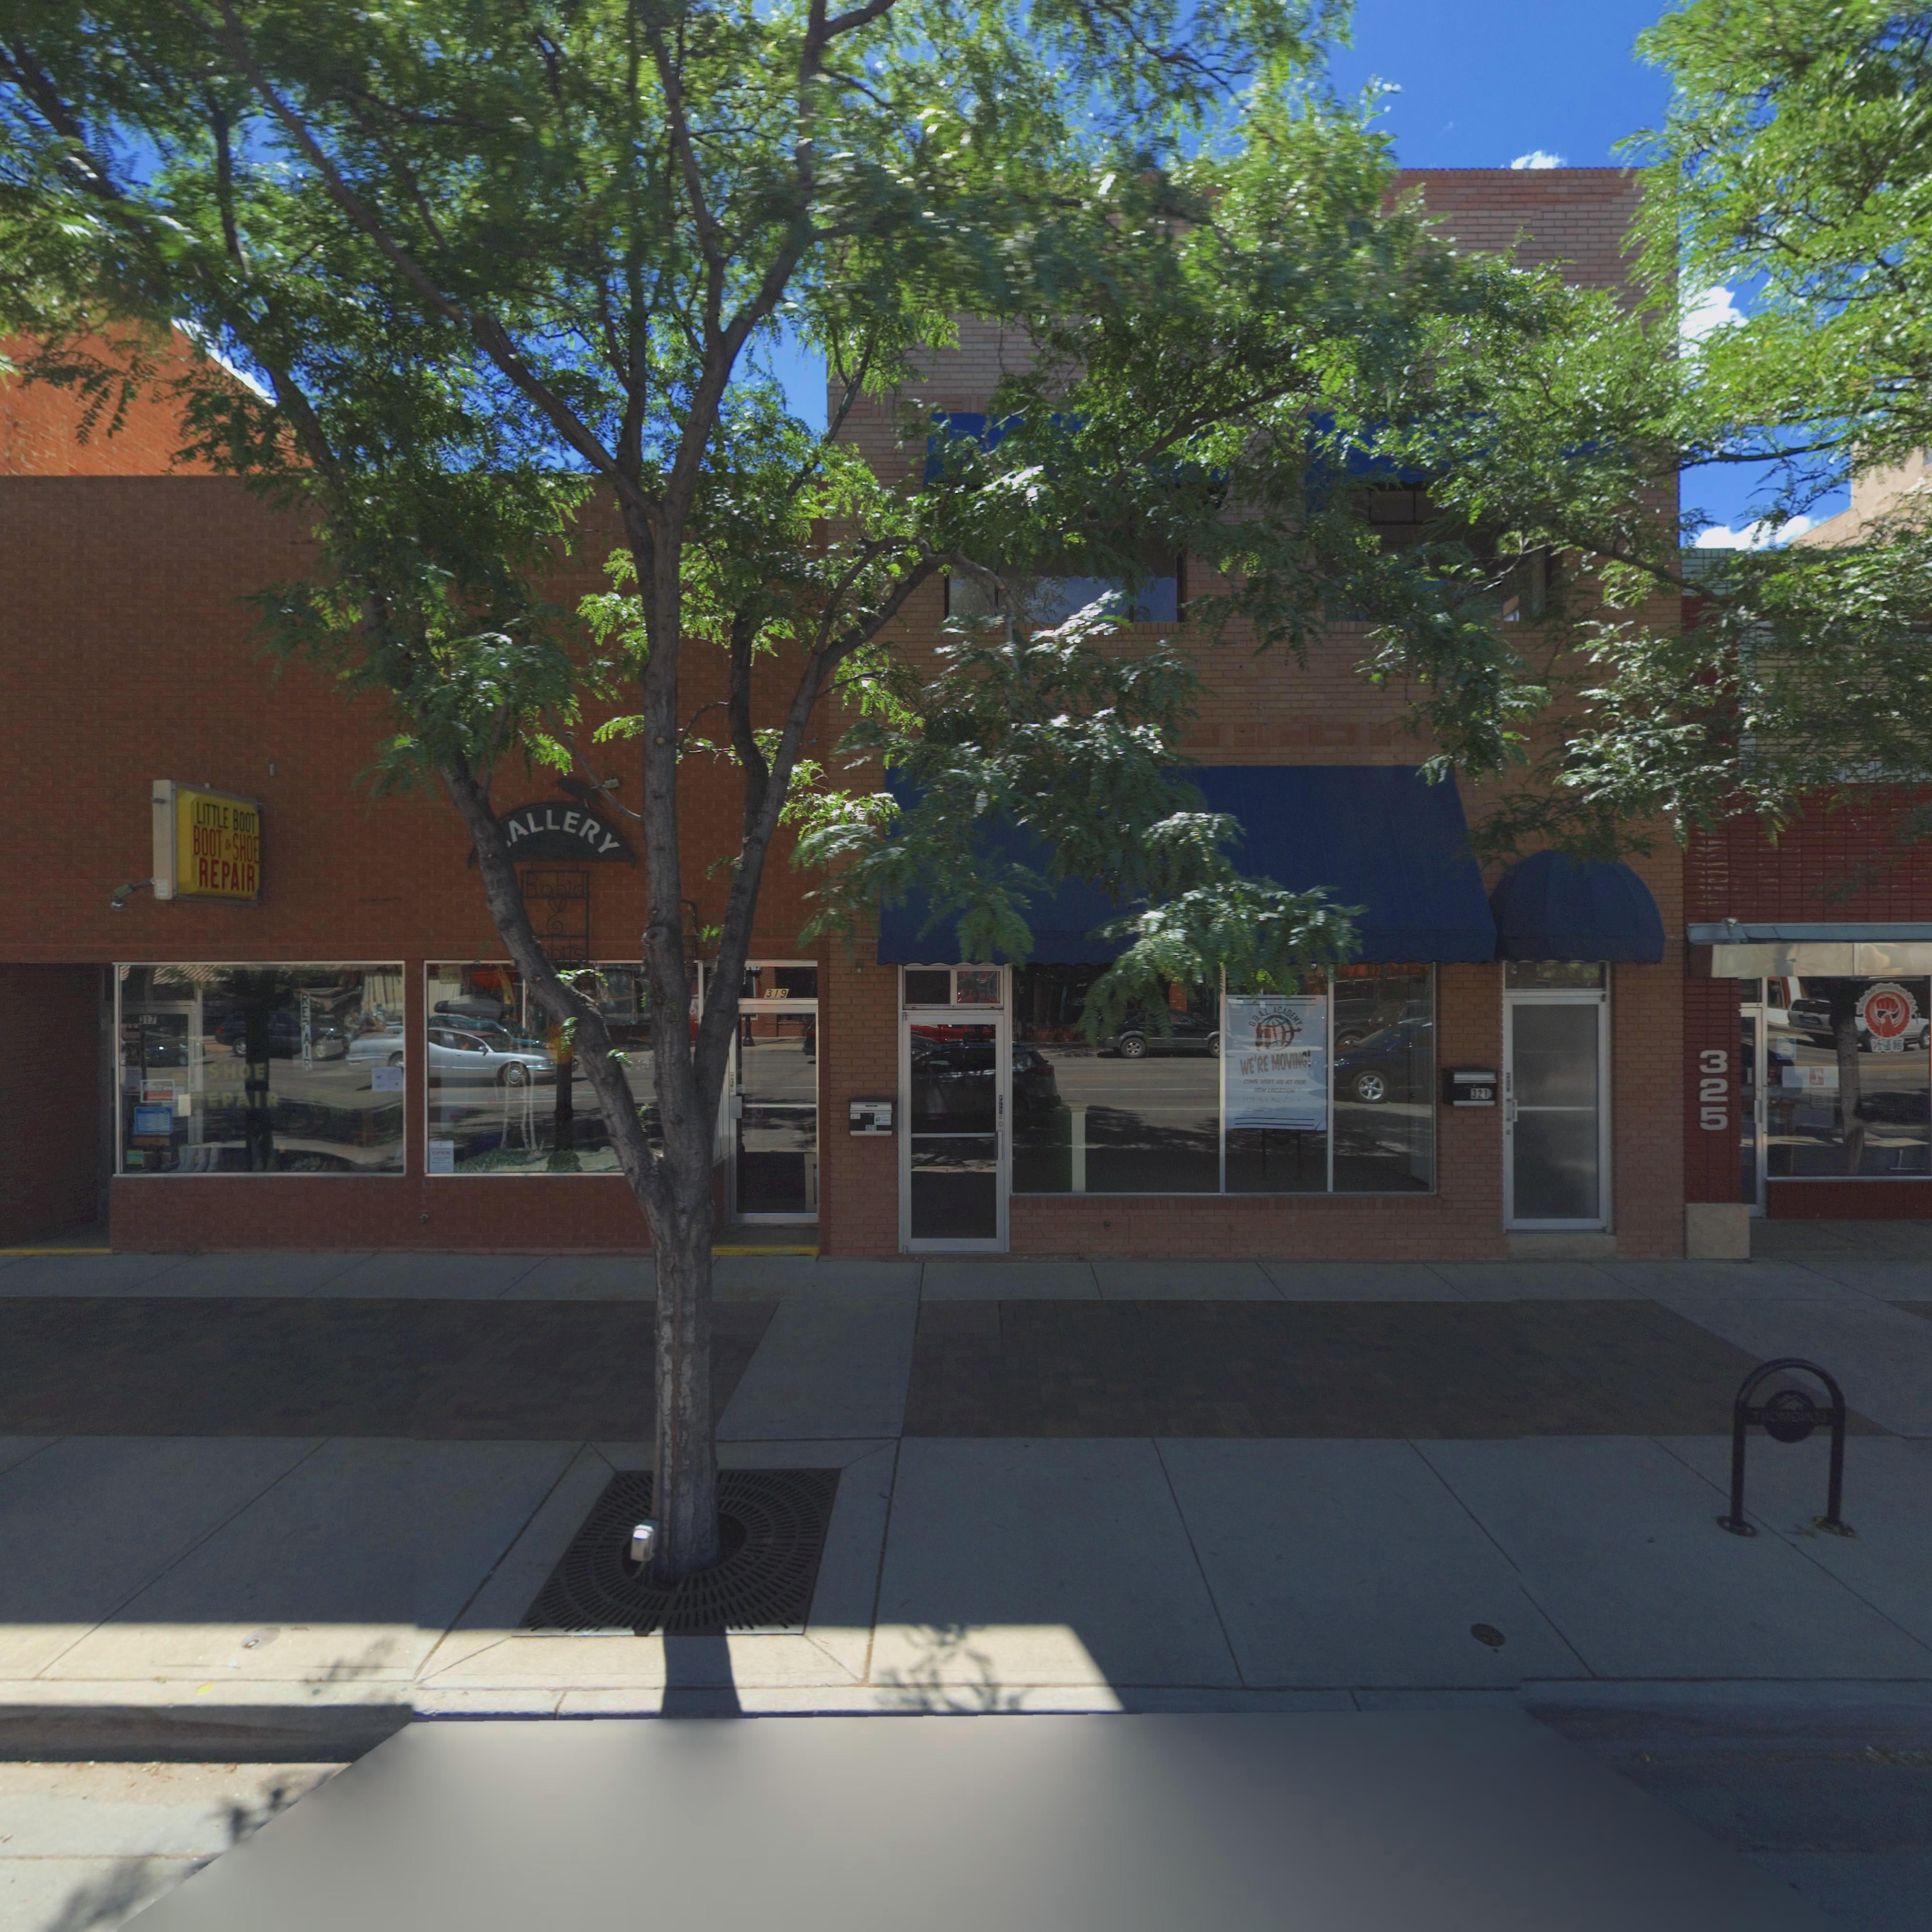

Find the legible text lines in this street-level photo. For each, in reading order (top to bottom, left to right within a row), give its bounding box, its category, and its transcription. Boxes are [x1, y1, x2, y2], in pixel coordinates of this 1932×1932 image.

[195, 800, 256, 834] BusinessName: LITTLE BOOT
[525, 871, 584, 898] BusinessName: Rabid
[541, 936, 585, 962] BusinessName: *bits
[764, 989, 789, 998] StreetNumber: 319
[139, 1014, 156, 1024] StreetNumber: 317
[1247, 1005, 1303, 1027] BusinessName: G*O*A*L ACADEMY
[1471, 1089, 1488, 1099] StreetNumber: 321
[1698, 1049, 1728, 1131] StreetNumber: 325
[866, 1125, 875, 1130] StreetNumber: 321